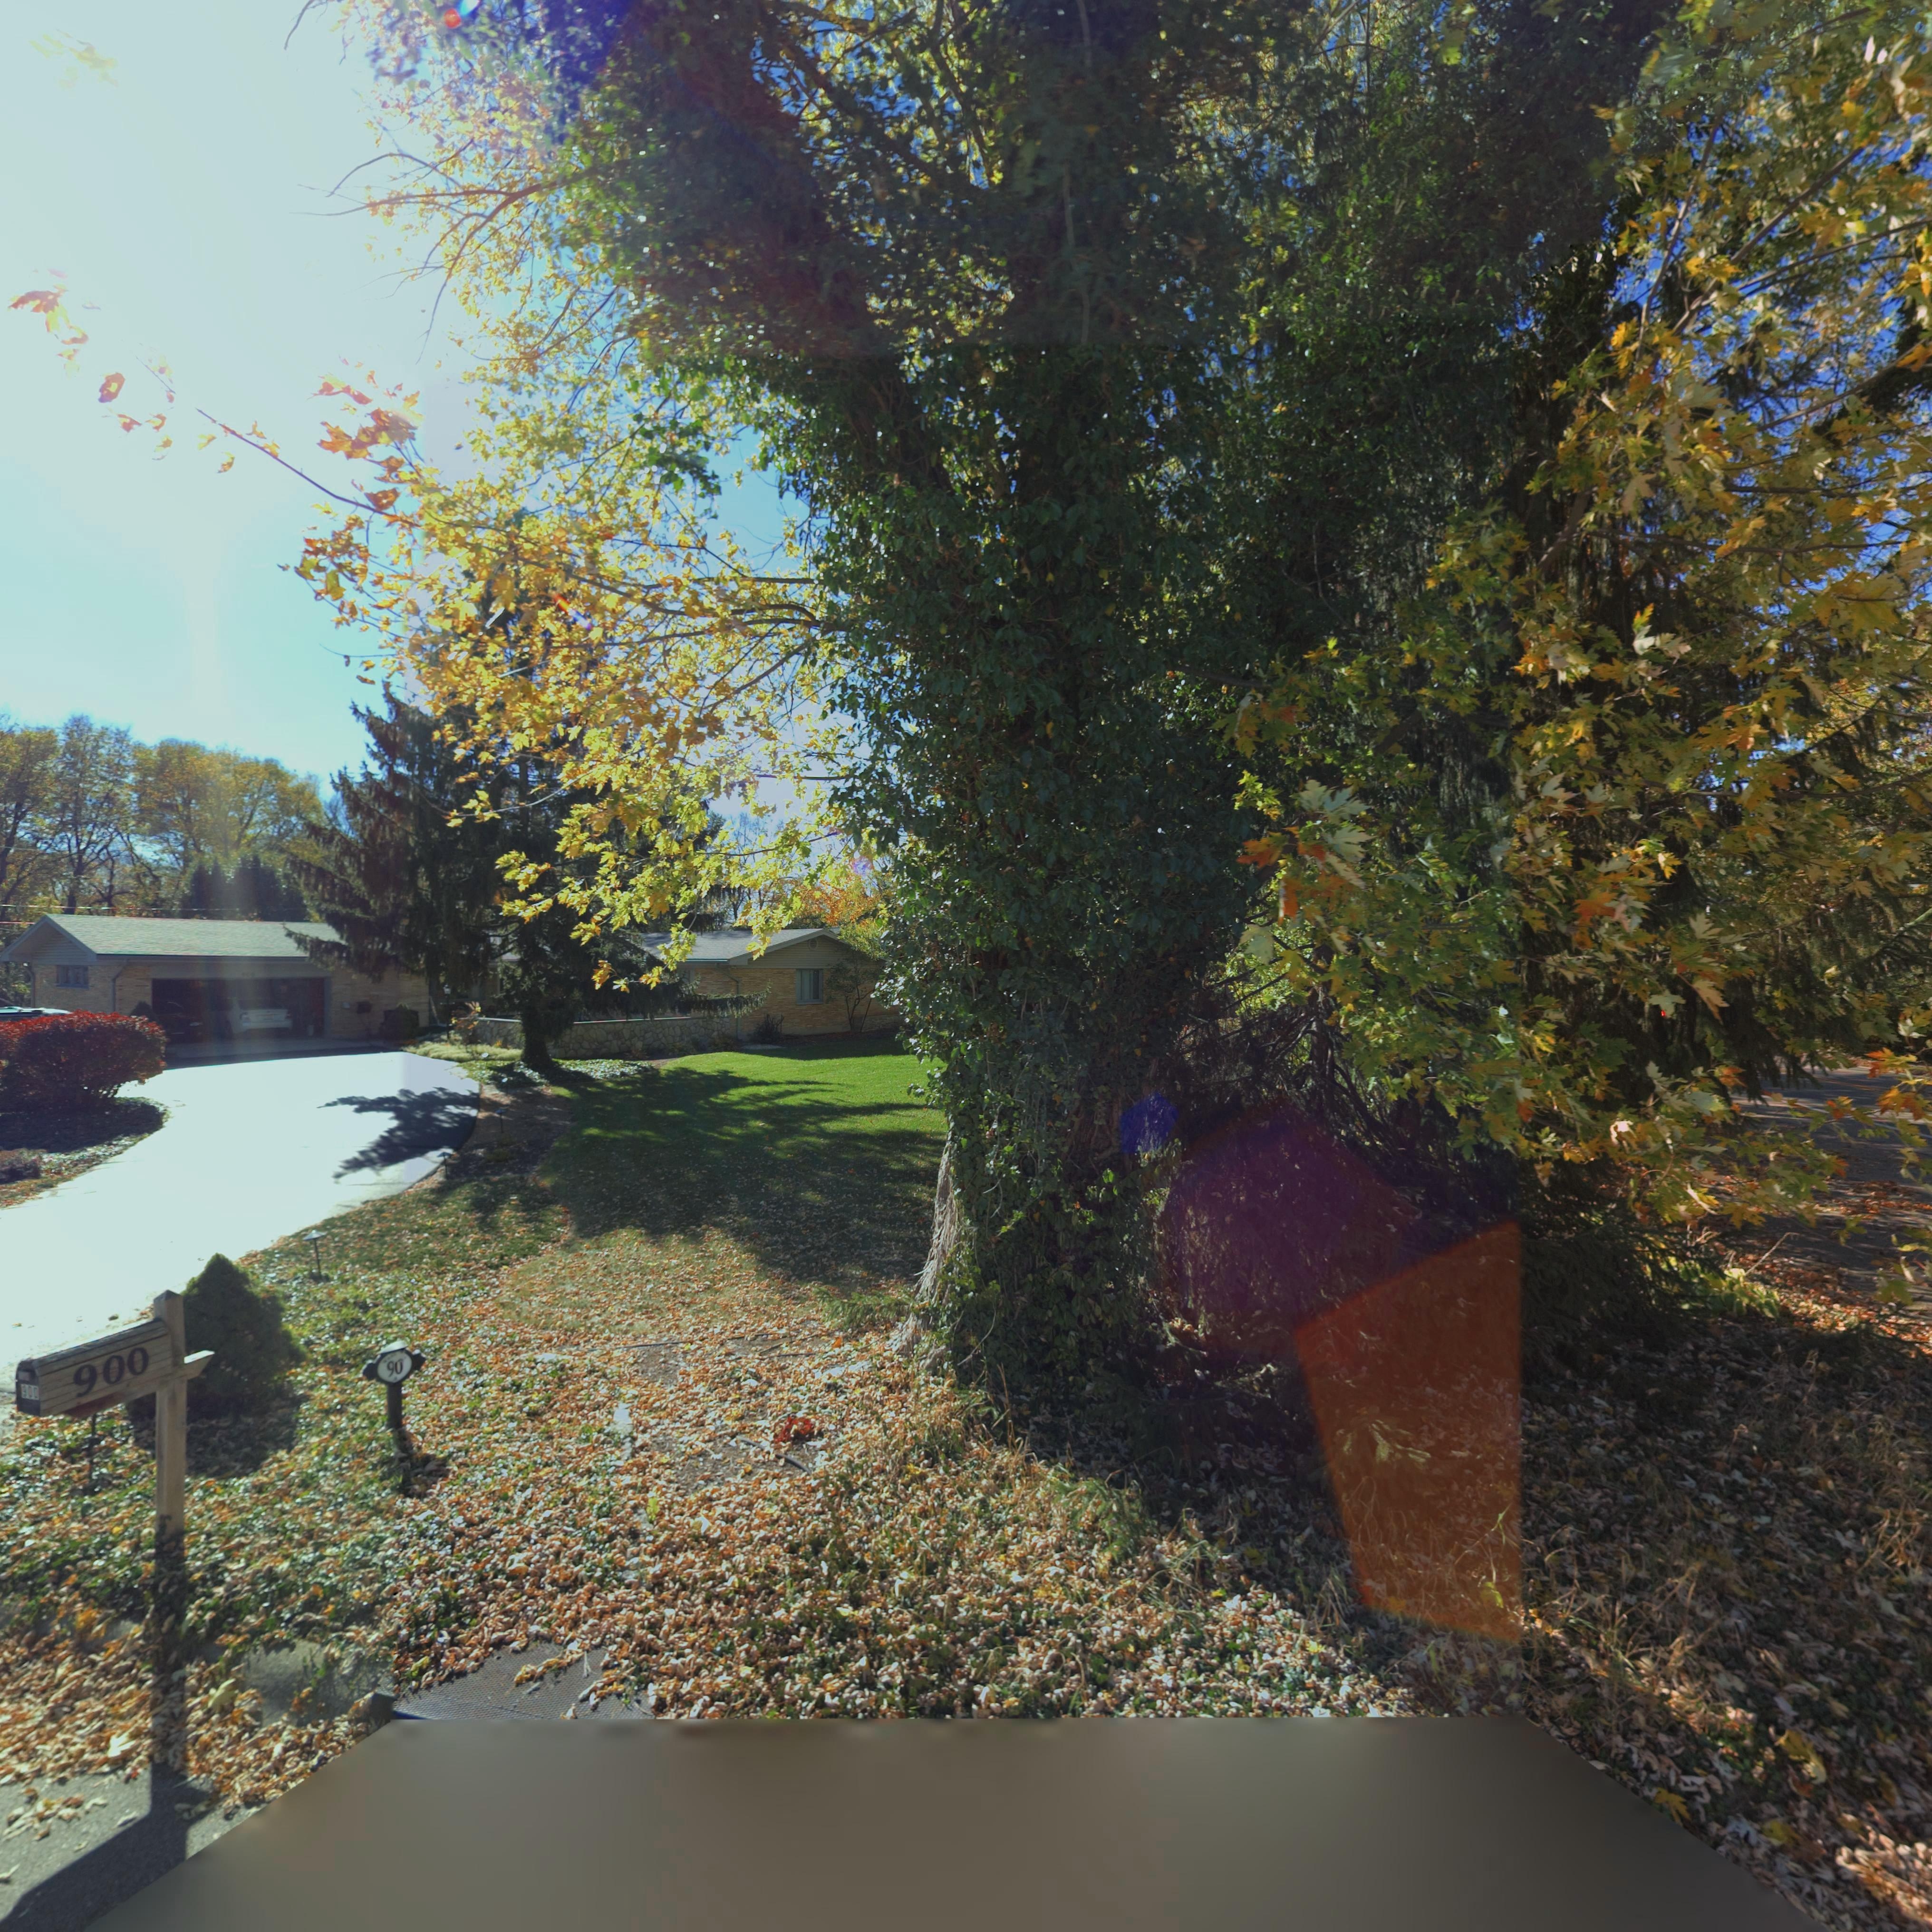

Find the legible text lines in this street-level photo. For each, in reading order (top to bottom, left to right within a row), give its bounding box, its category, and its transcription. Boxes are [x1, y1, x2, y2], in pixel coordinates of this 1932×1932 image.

[69, 1343, 155, 1404] StreetNumber: 900
[386, 1357, 405, 1379] StreetNumber: 90
[20, 1383, 40, 1401] StreetNumber: 900